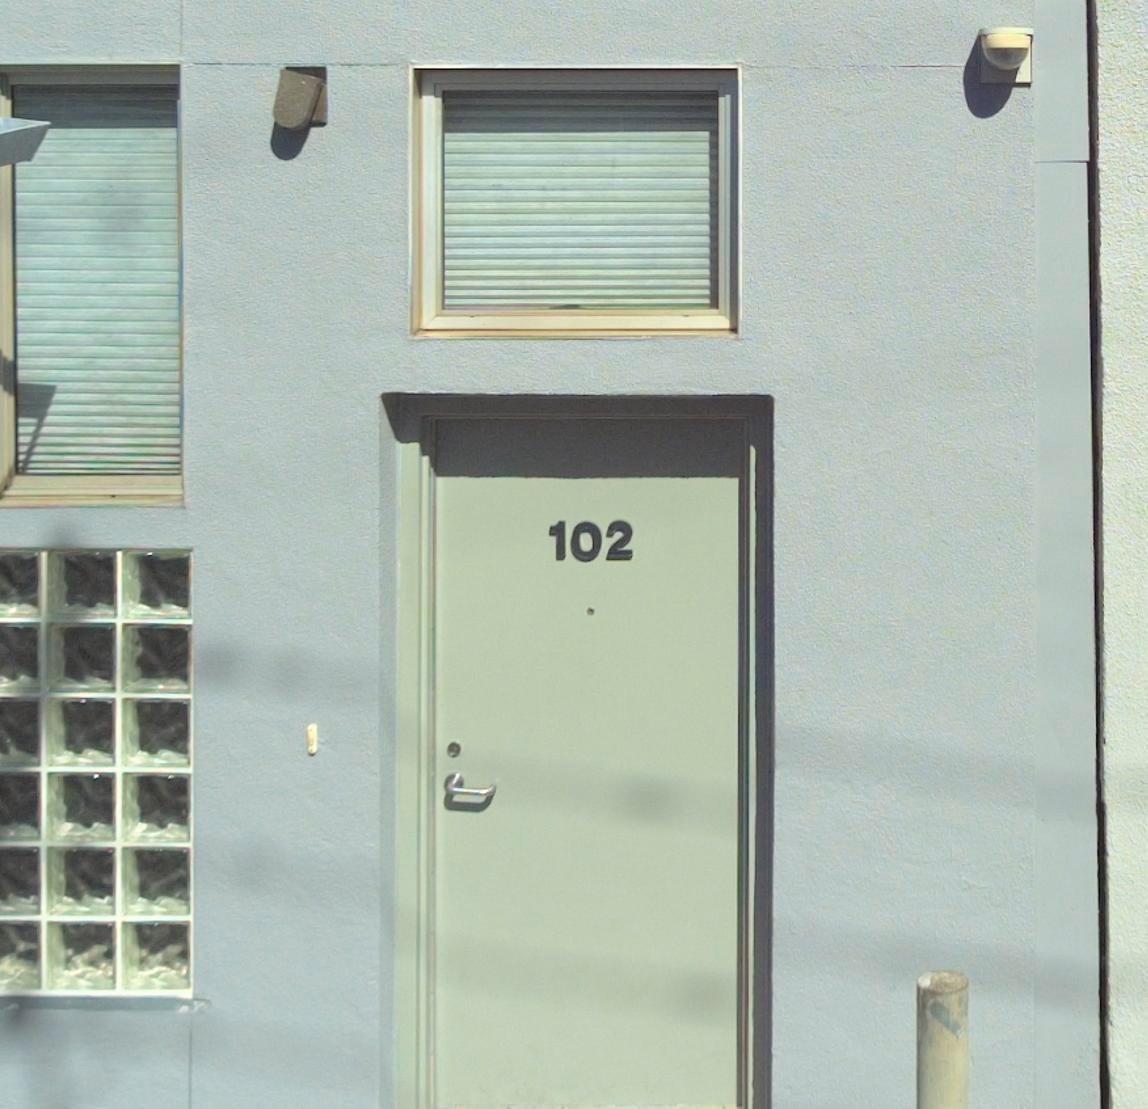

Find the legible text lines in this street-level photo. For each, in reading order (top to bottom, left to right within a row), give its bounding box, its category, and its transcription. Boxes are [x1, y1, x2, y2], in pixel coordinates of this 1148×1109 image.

[544, 515, 639, 565] StreetNumber: 102